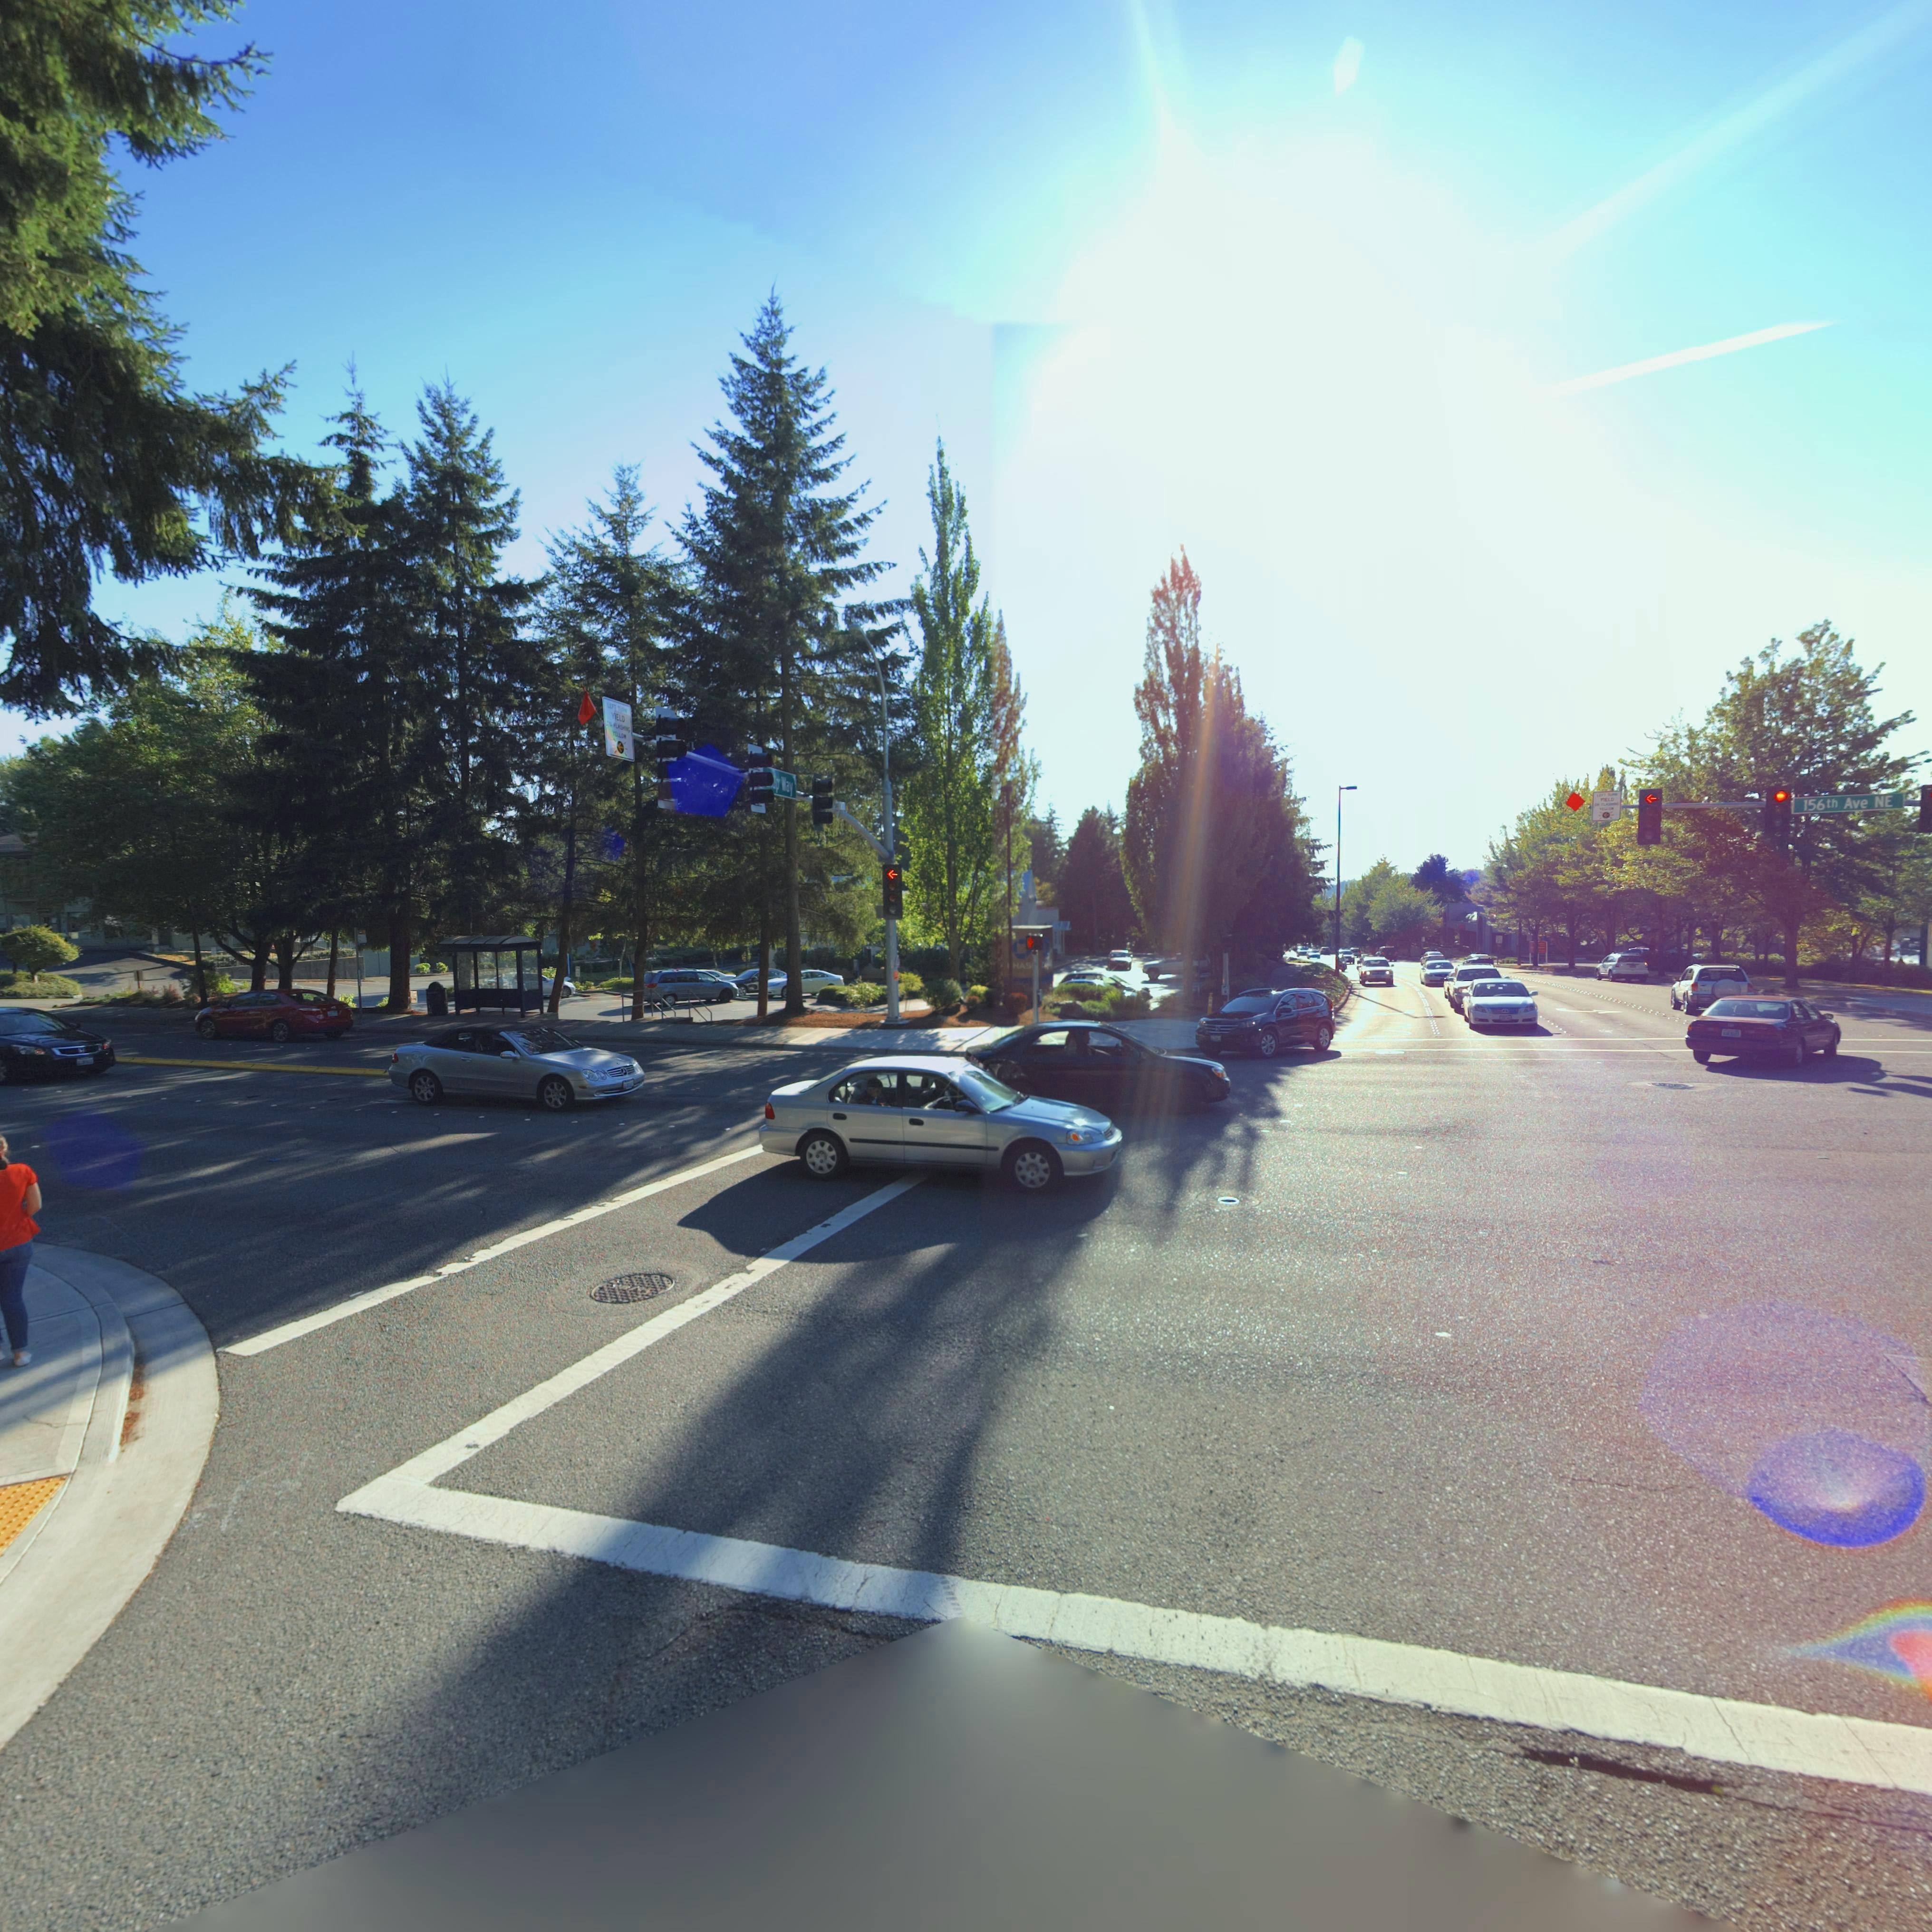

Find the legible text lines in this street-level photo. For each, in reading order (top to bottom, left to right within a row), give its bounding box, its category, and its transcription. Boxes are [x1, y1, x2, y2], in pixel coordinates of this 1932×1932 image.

[1800, 794, 1895, 812] StreetName: 156th Ave NE